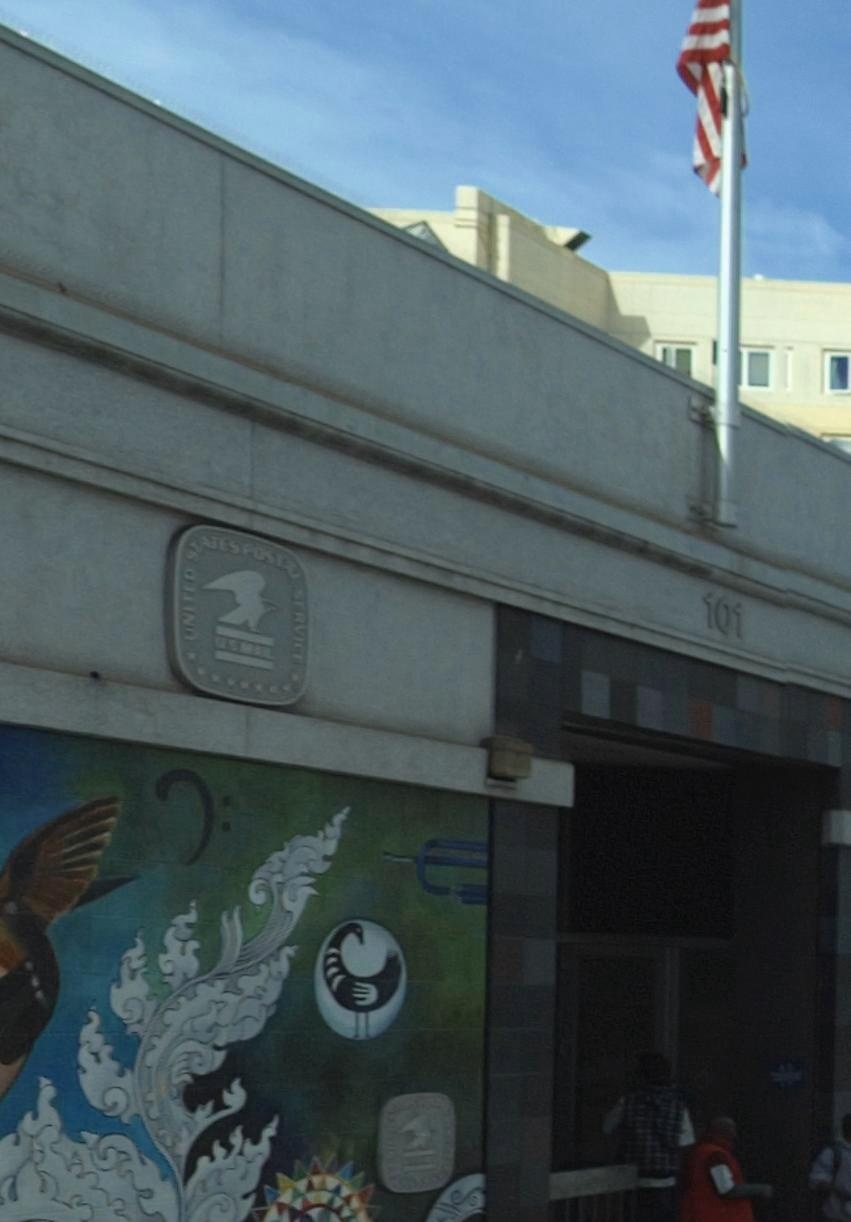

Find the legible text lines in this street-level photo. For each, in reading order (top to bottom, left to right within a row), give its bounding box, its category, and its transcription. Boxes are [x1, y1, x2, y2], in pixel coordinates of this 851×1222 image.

[213, 633, 275, 662] None: US MAIL
[180, 532, 310, 663] BusinessName: UNITED STATES POSTAL SERVICE
[700, 583, 750, 651] StreetNumber: 101